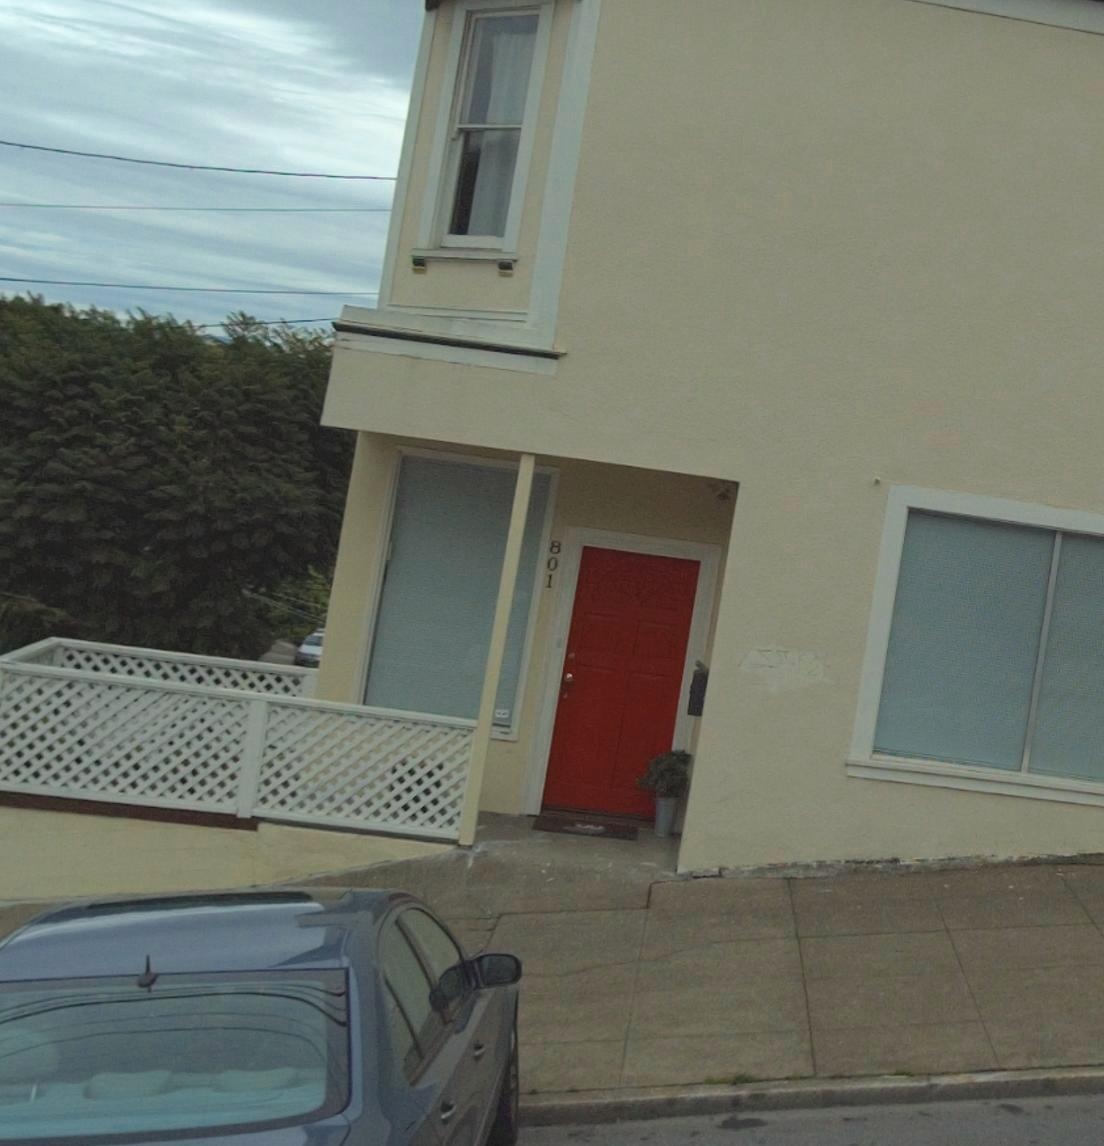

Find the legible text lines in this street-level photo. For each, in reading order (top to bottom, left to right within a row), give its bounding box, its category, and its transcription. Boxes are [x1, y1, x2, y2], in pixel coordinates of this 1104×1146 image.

[542, 538, 563, 590] StreetNumber: 801